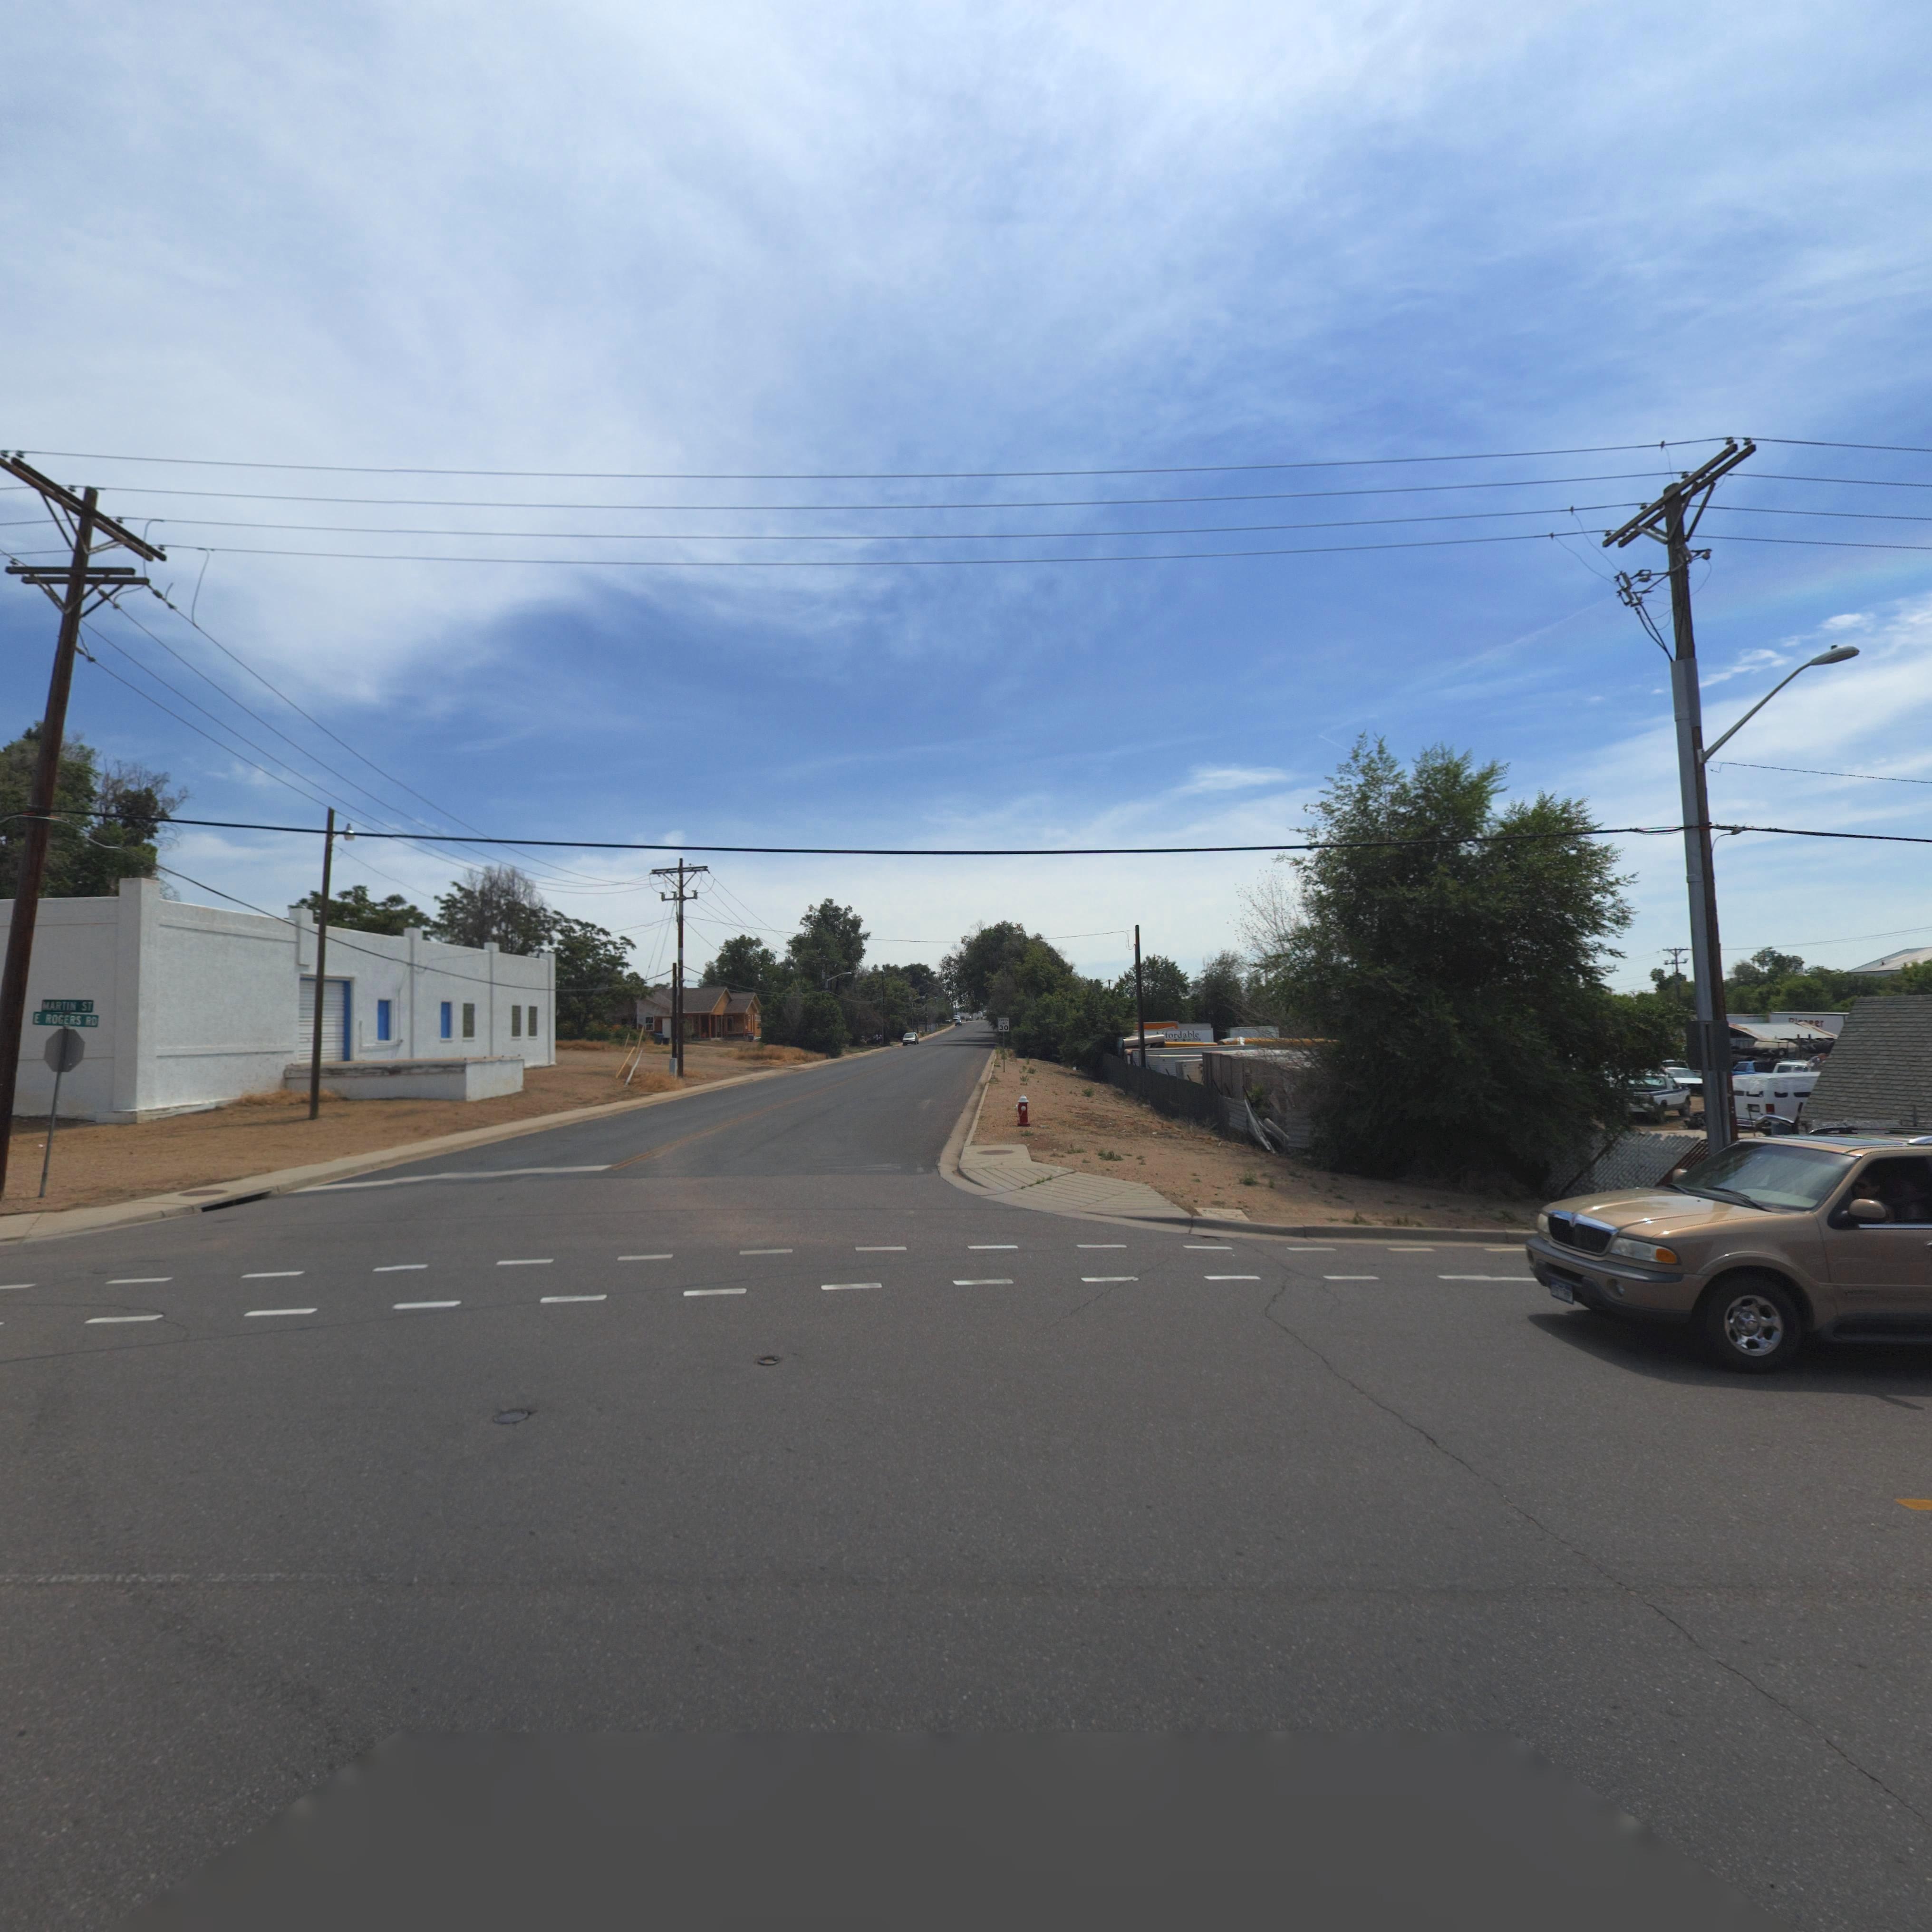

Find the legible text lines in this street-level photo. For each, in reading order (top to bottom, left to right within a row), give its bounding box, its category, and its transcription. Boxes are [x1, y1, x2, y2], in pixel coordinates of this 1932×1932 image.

[40, 1000, 93, 1013] StreetName: MARTIN ST
[32, 1012, 98, 1027] StreetName: E RODGERS RD